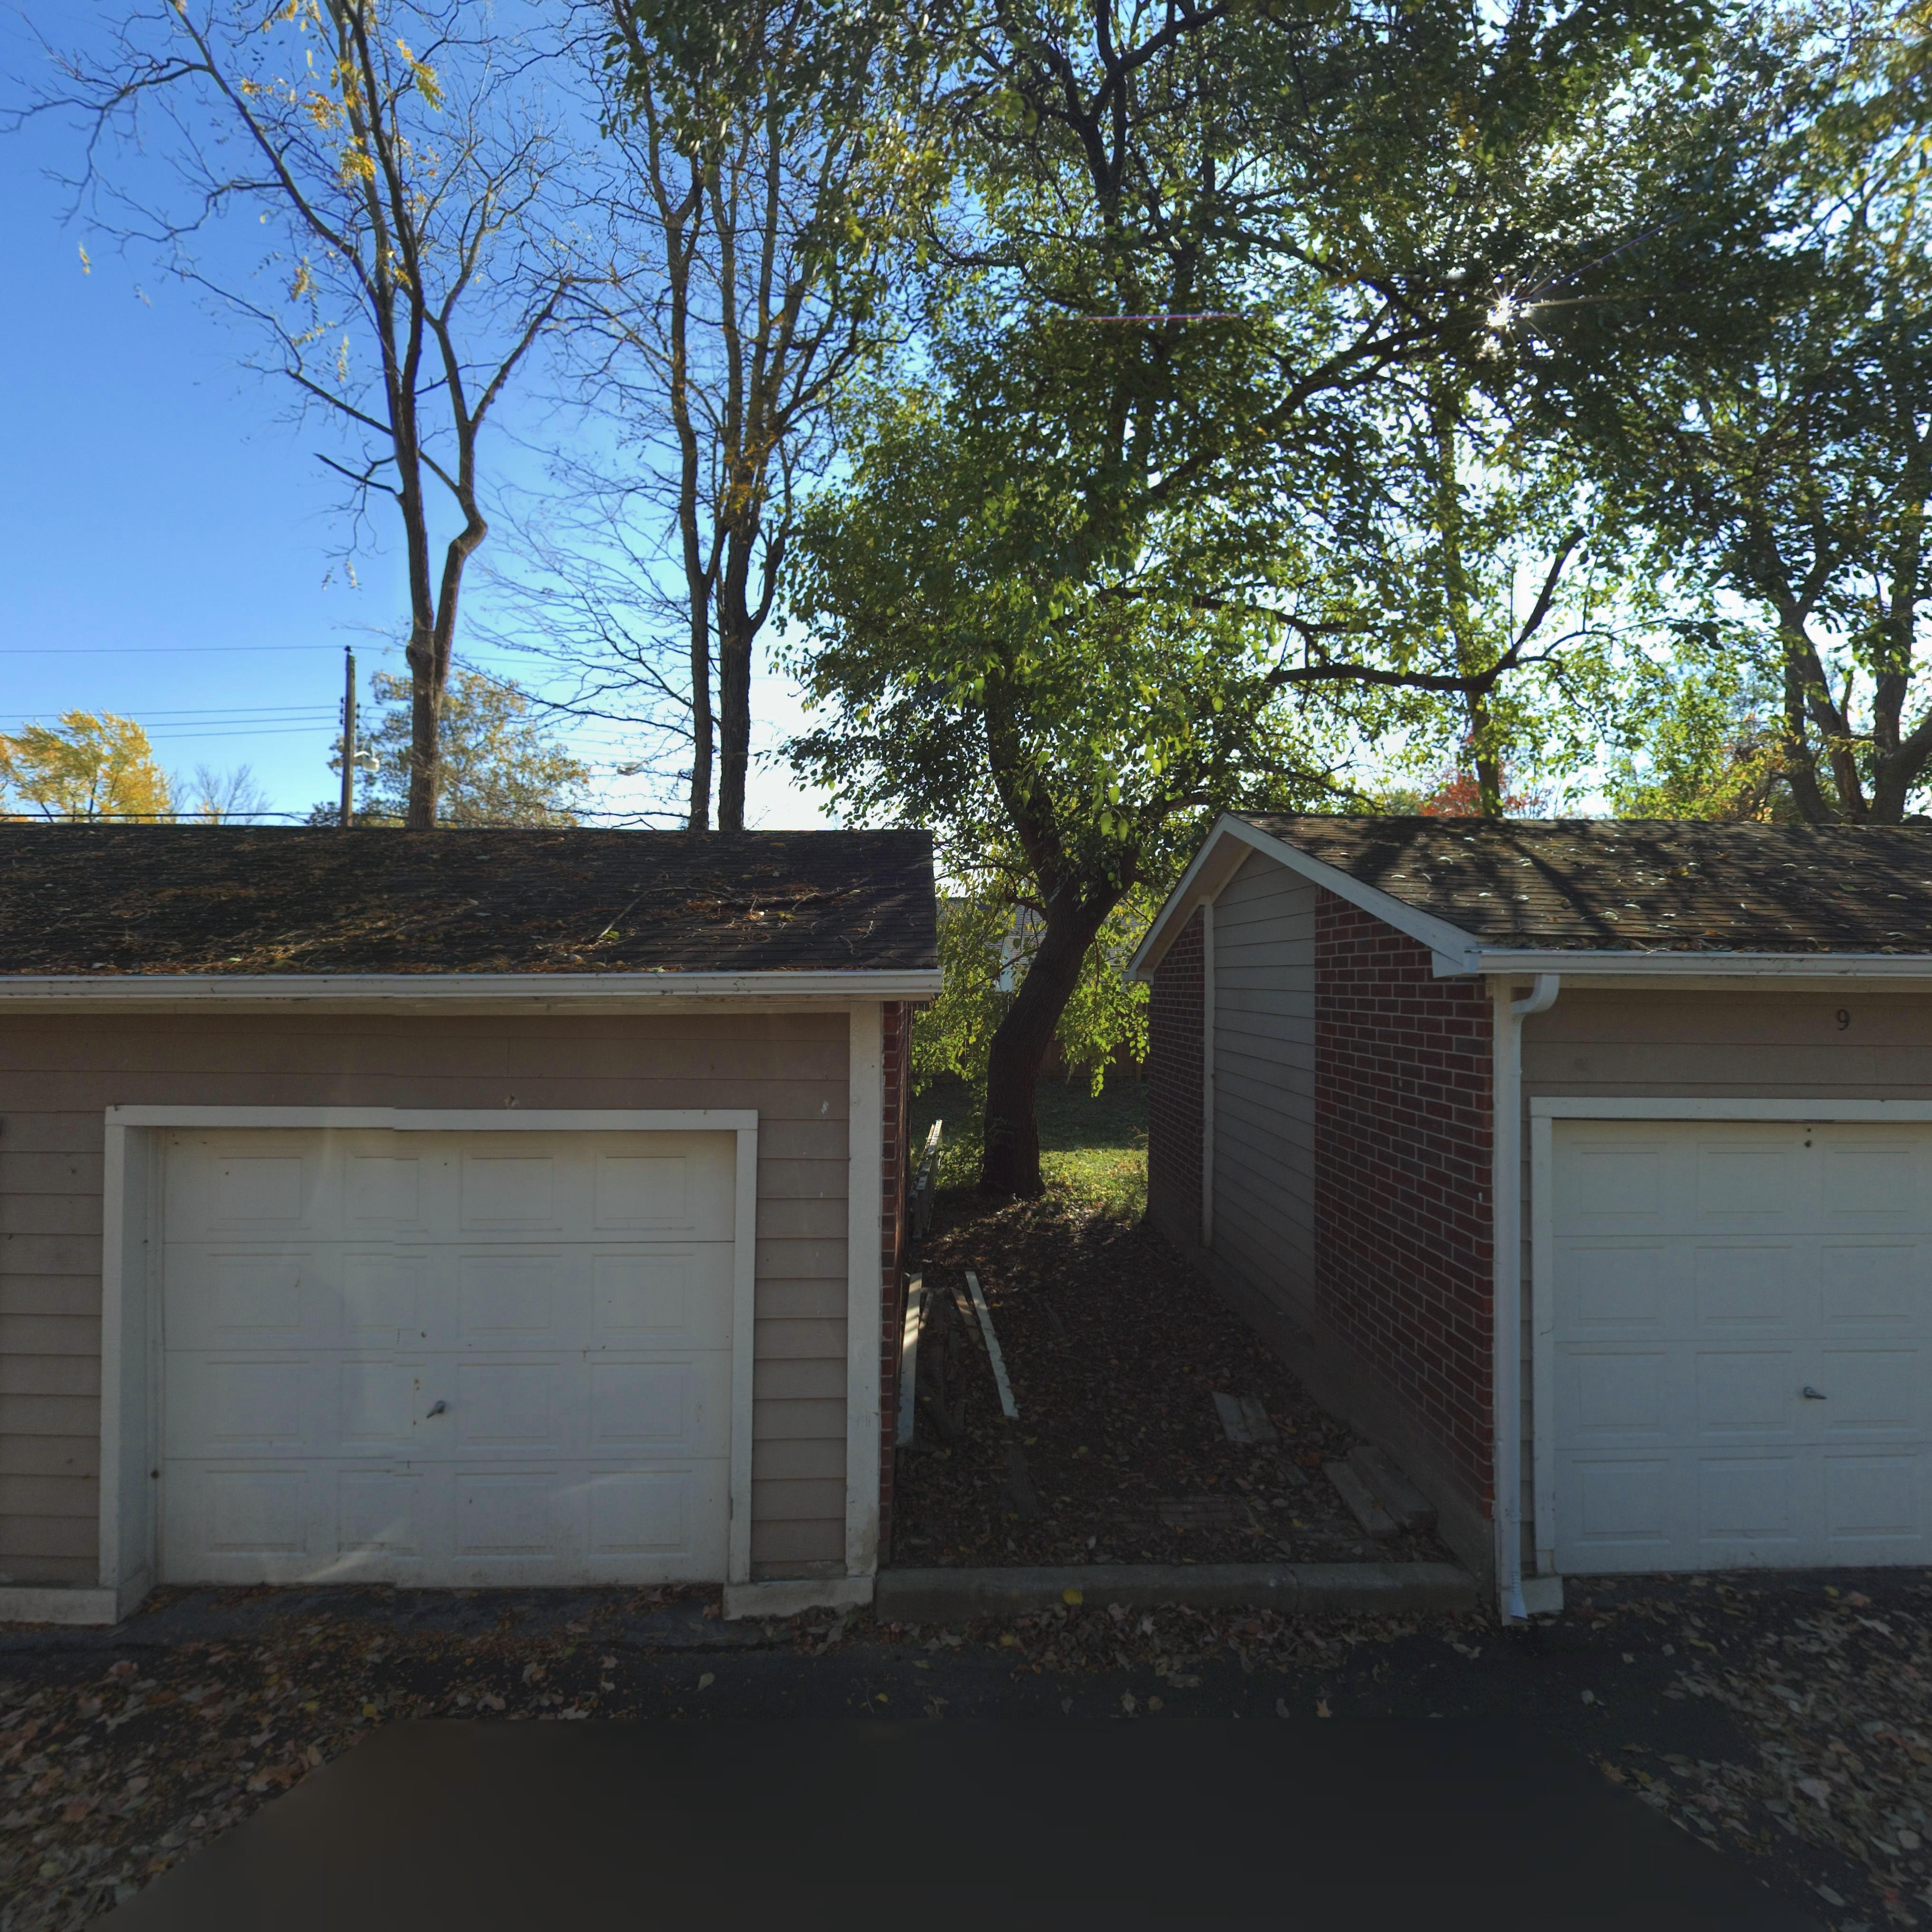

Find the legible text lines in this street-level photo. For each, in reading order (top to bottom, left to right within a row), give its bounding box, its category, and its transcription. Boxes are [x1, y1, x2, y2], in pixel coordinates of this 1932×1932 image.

[1835, 1007, 1850, 1032] StreetNumber: 9